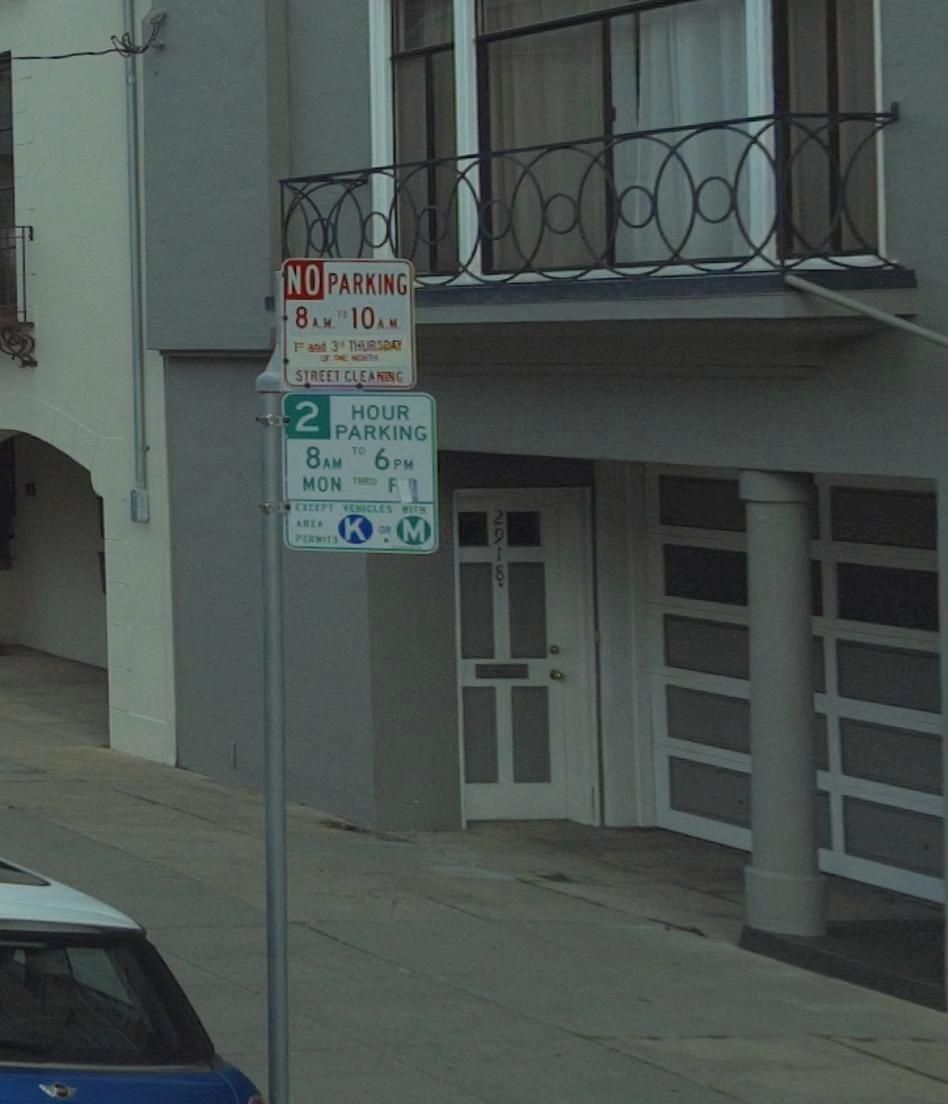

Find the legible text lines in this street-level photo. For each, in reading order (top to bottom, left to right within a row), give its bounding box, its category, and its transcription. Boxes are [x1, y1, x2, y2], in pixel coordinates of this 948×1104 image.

[285, 261, 411, 298] None: NO PARKING
[292, 303, 404, 333] None: 8 A.M. ** 10 A. M.
[291, 337, 405, 356] None: 1** *** 3** THU*SDAY
[293, 367, 408, 386] None: STREET CLEA***G
[292, 398, 323, 435] None: 2
[348, 402, 413, 423] None: HOUR
[333, 421, 430, 444] None: PARKING
[302, 444, 417, 473] None: 8 AM TO 6 PM
[298, 472, 400, 496] None: MON **** F
[342, 515, 370, 544] None: K
[400, 516, 427, 544] None: M
[491, 507, 507, 584] StreetNumber: 2918